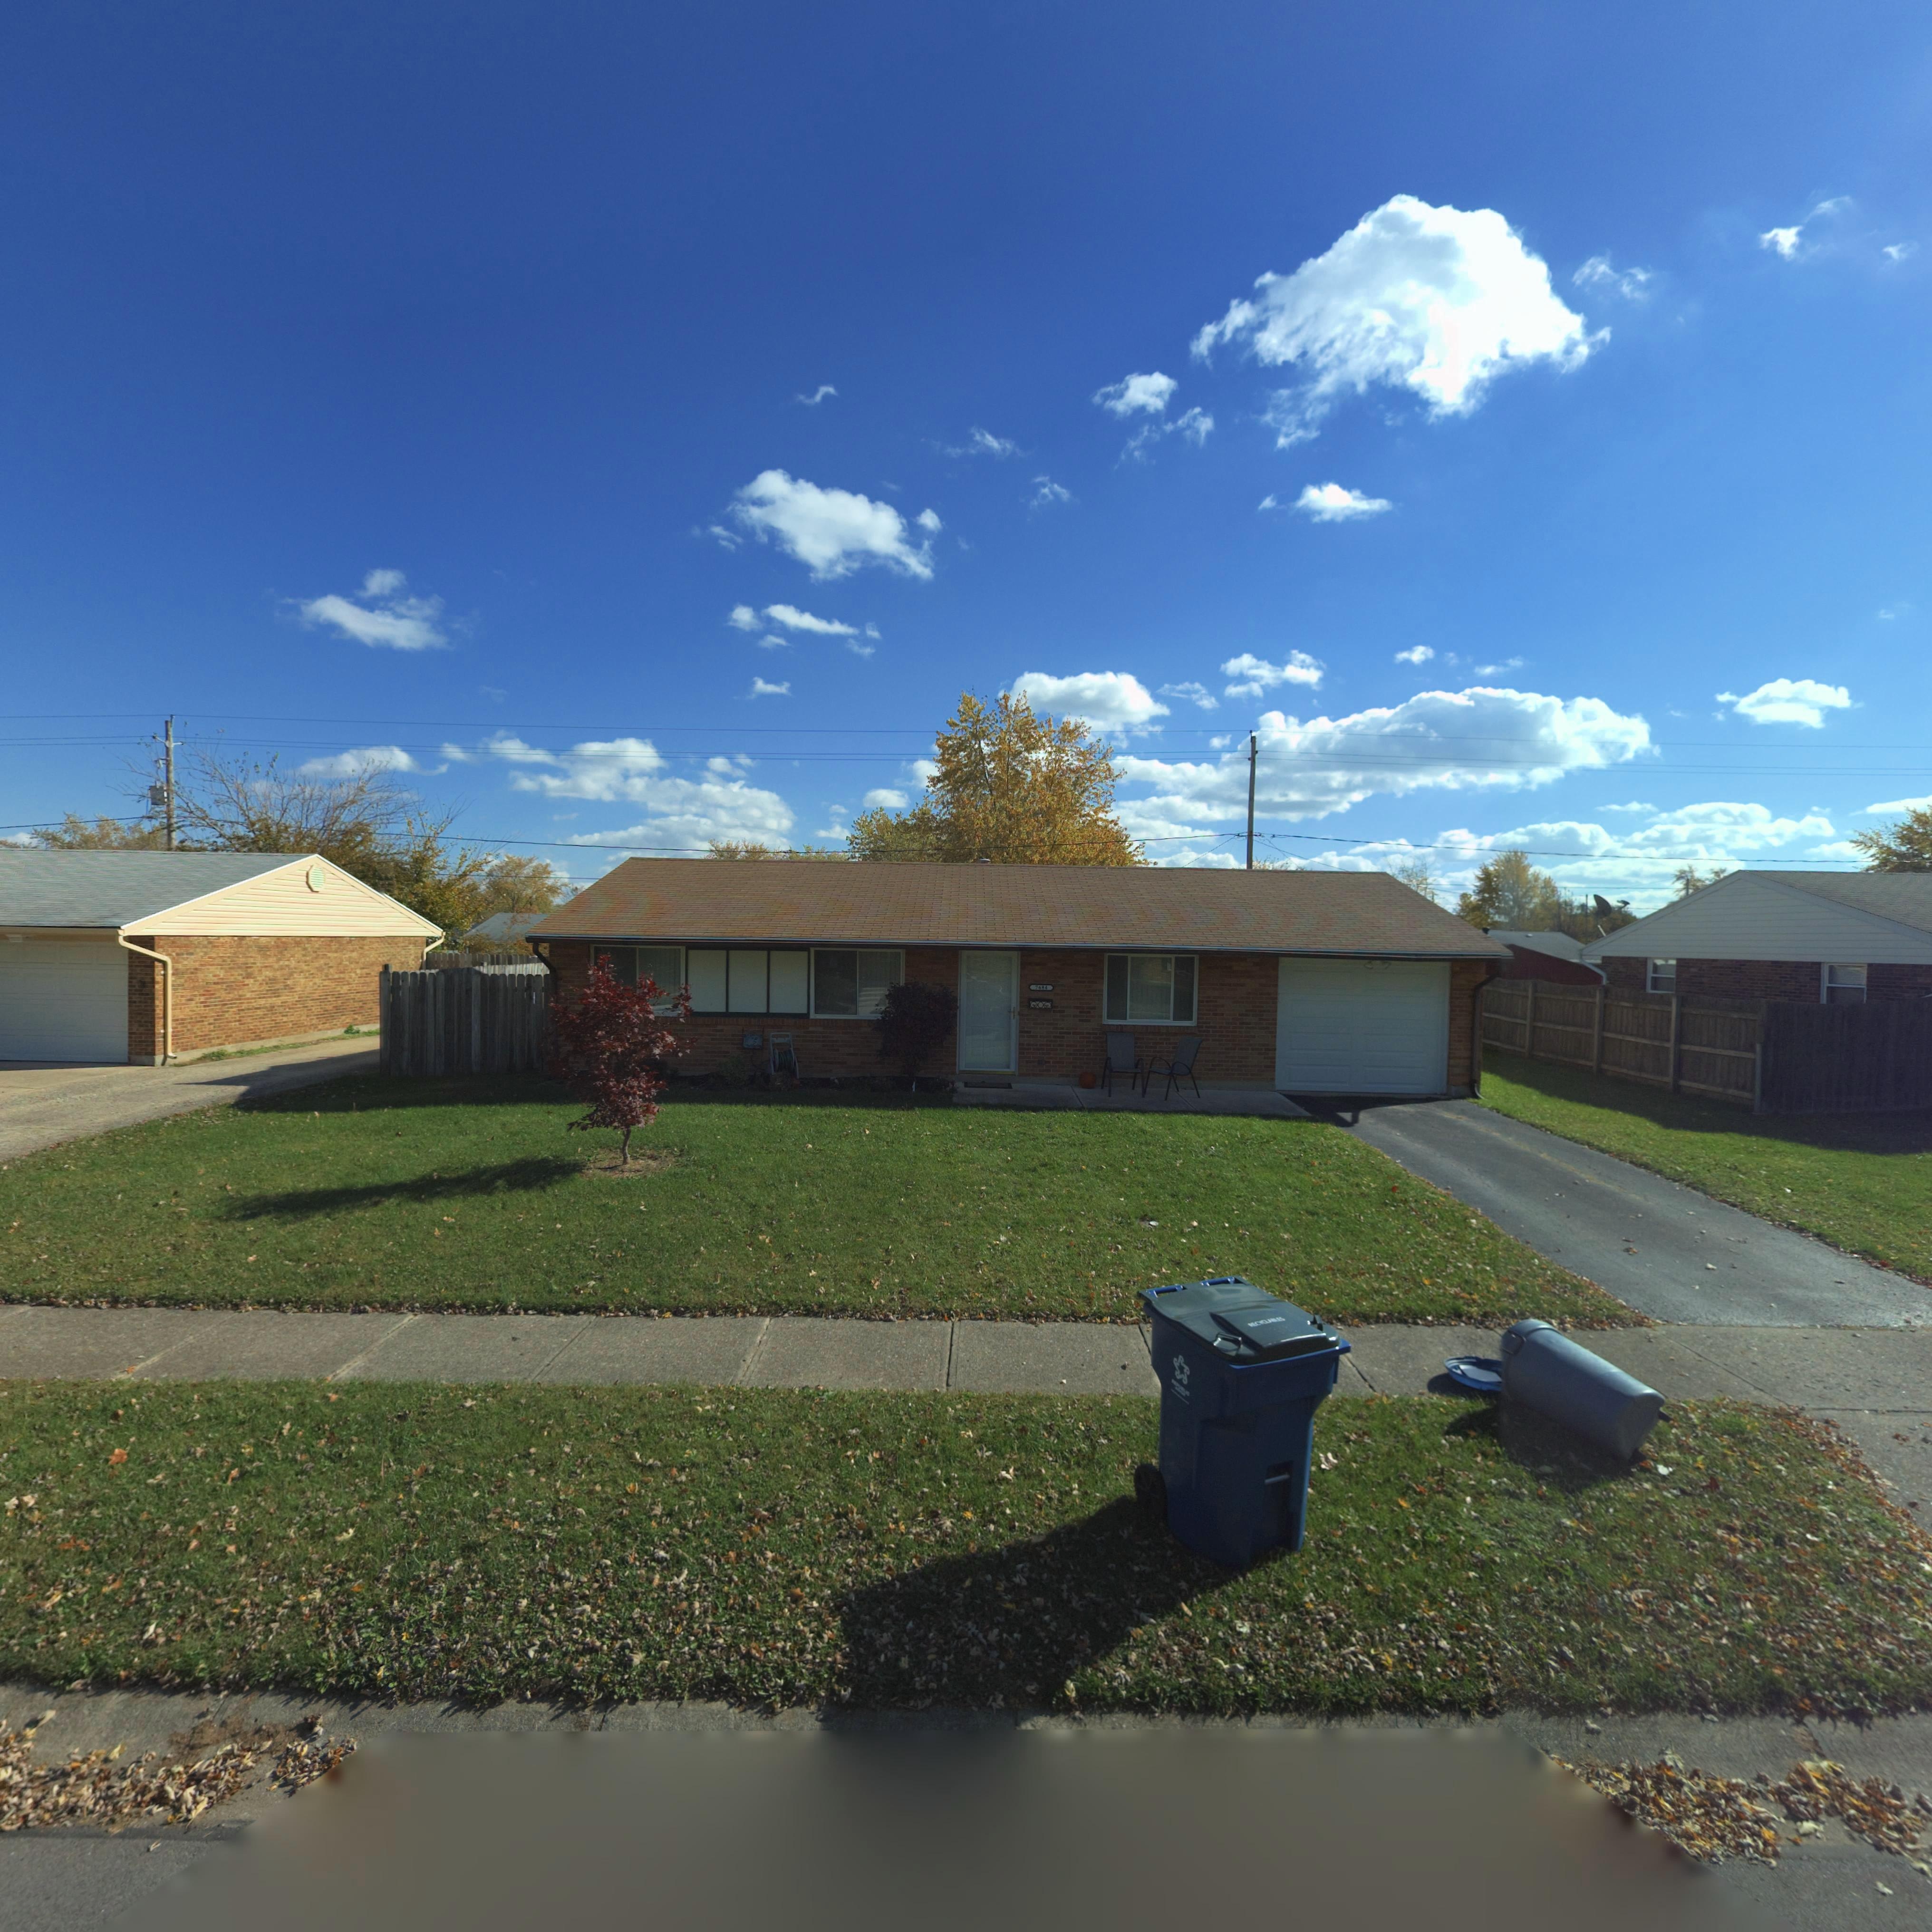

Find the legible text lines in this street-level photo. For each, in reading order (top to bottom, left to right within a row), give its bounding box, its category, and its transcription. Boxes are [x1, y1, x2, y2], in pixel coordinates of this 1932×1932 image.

[1034, 985, 1048, 991] StreetNumber: 7***